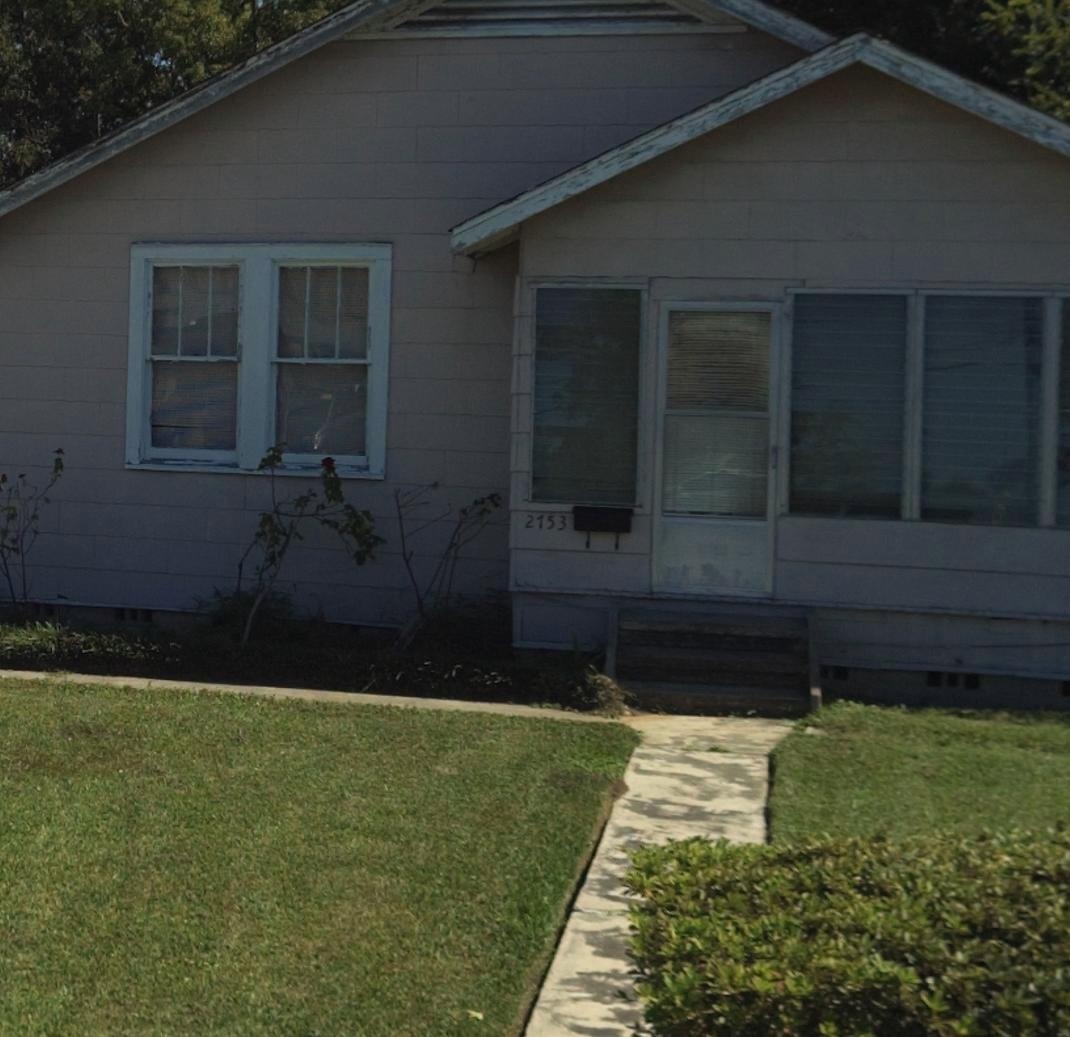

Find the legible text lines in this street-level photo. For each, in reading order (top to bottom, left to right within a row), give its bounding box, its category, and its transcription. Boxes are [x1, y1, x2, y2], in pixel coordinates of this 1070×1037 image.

[524, 513, 567, 531] StreetNumber: 2753